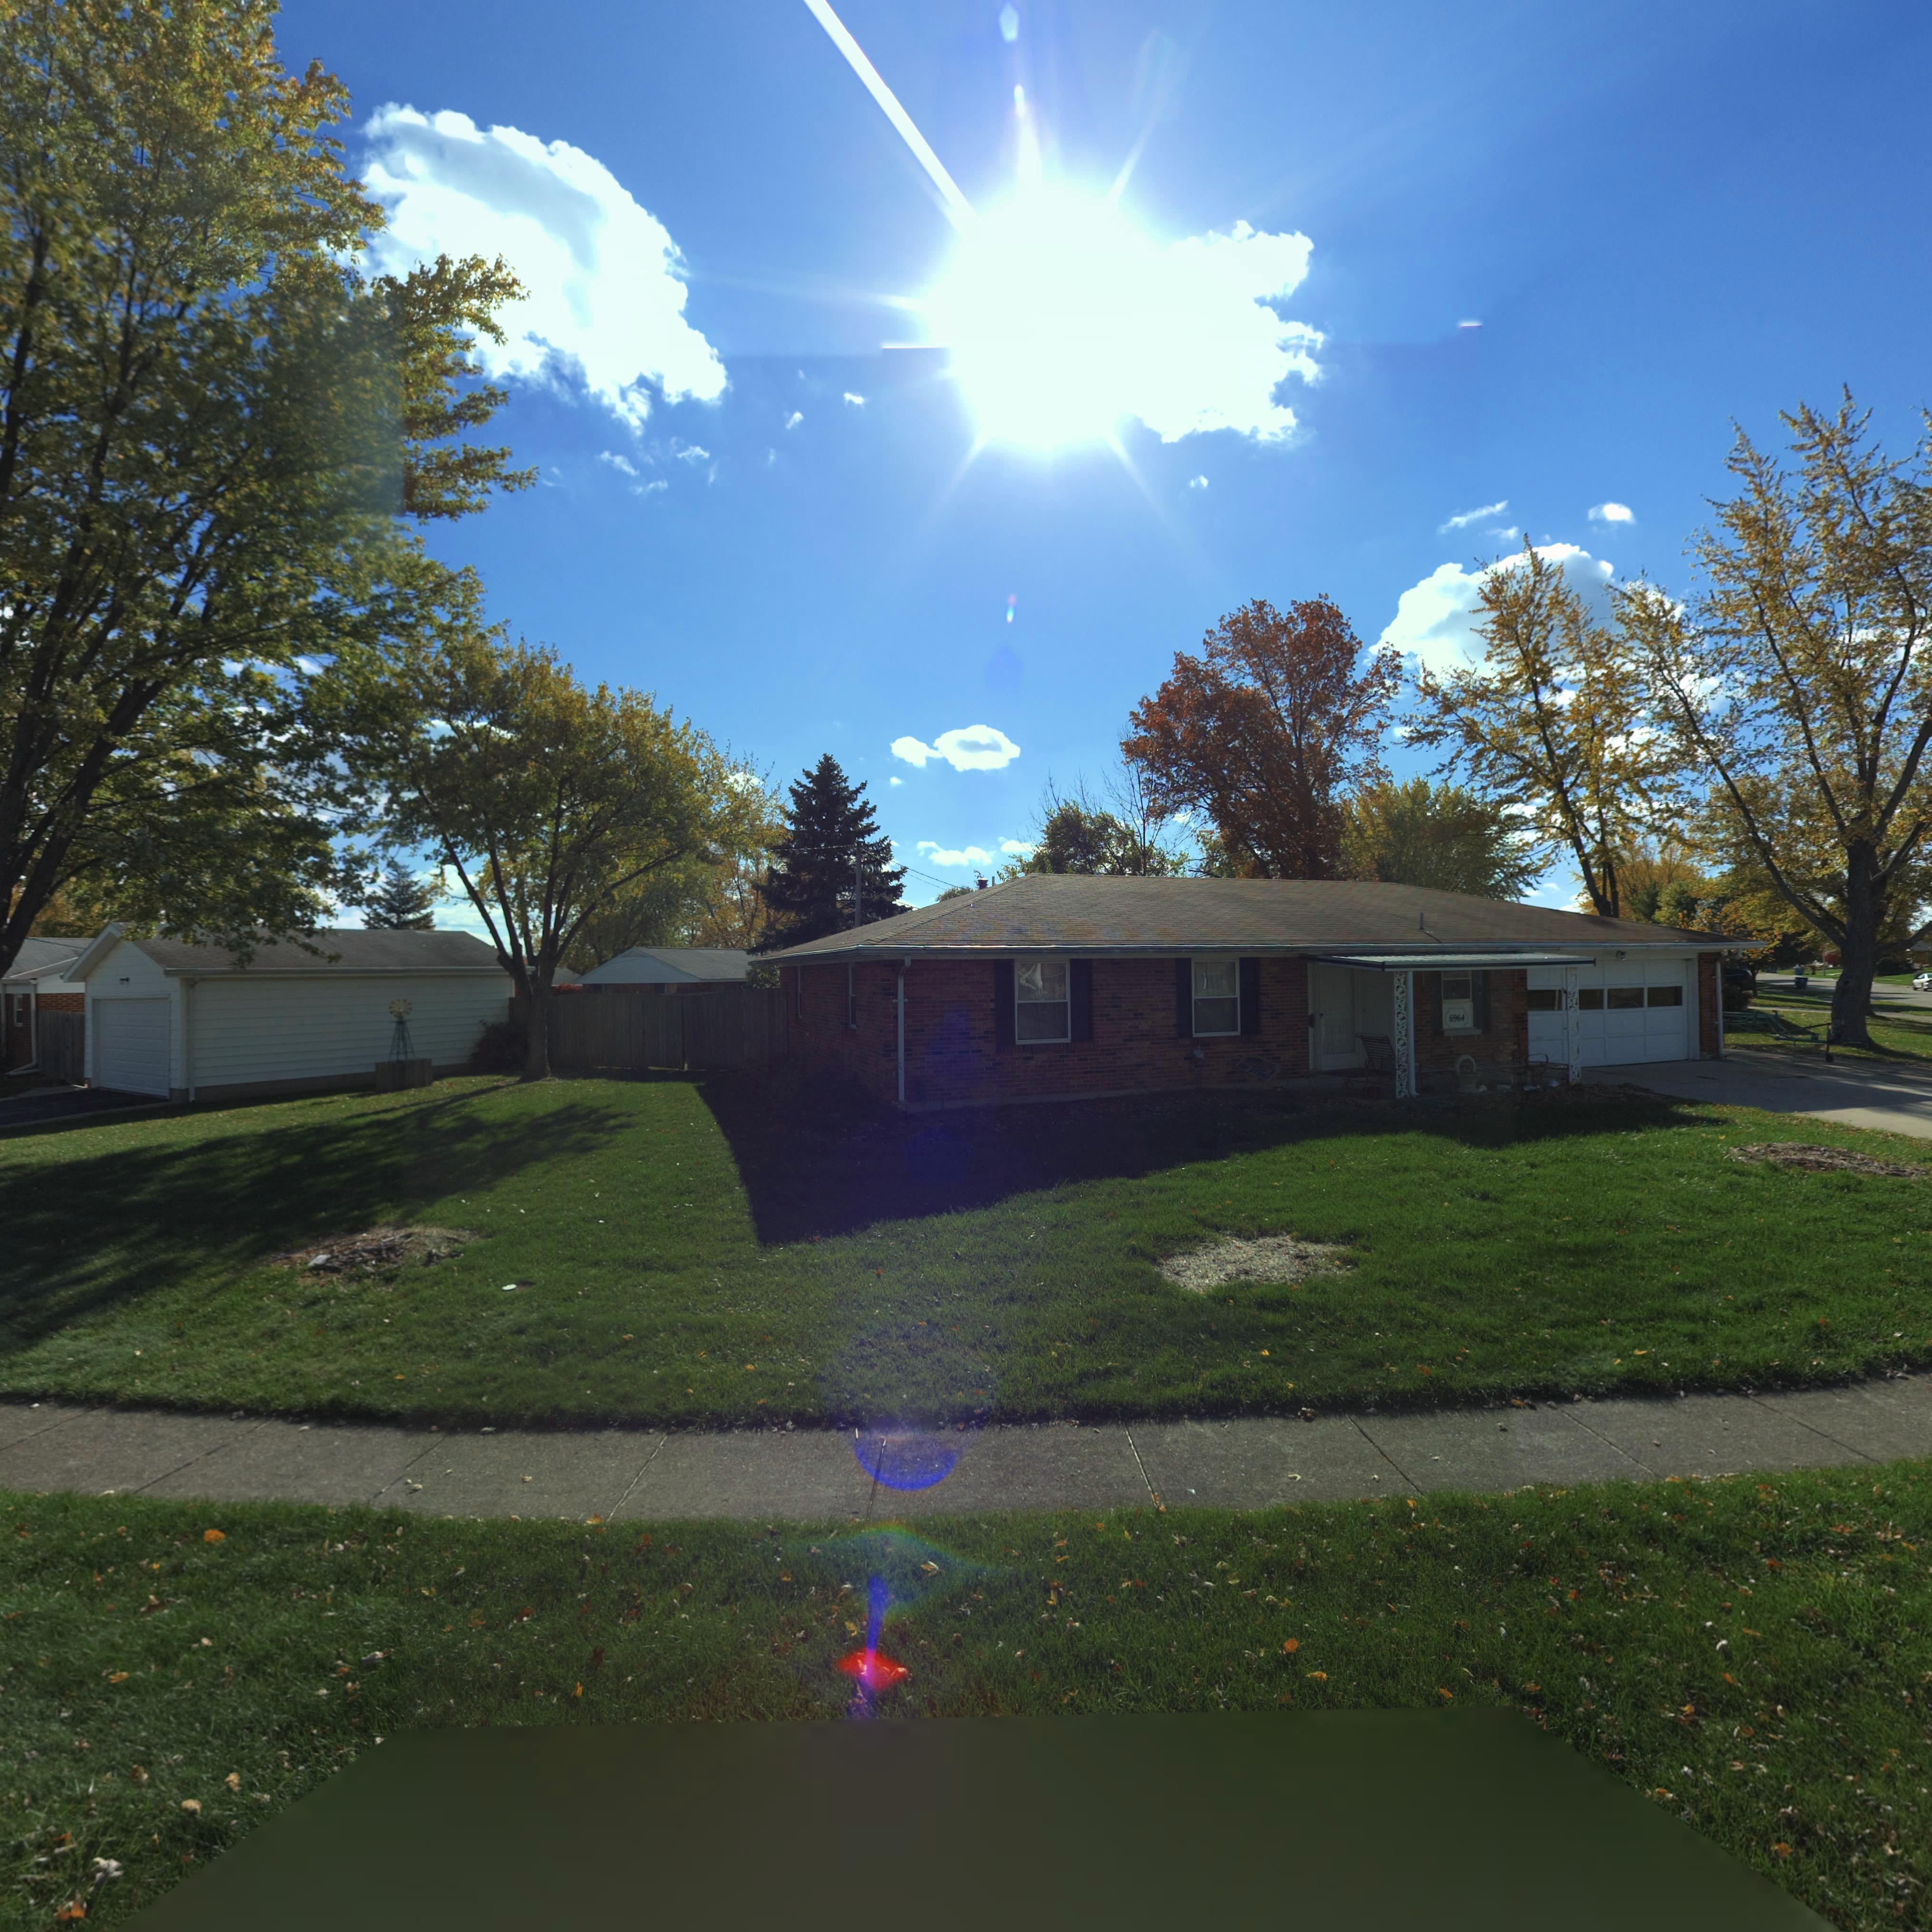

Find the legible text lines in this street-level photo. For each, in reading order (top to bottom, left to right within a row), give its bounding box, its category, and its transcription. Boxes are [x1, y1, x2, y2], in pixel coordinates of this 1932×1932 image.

[1448, 1013, 1466, 1024] StreetNumber: 6964